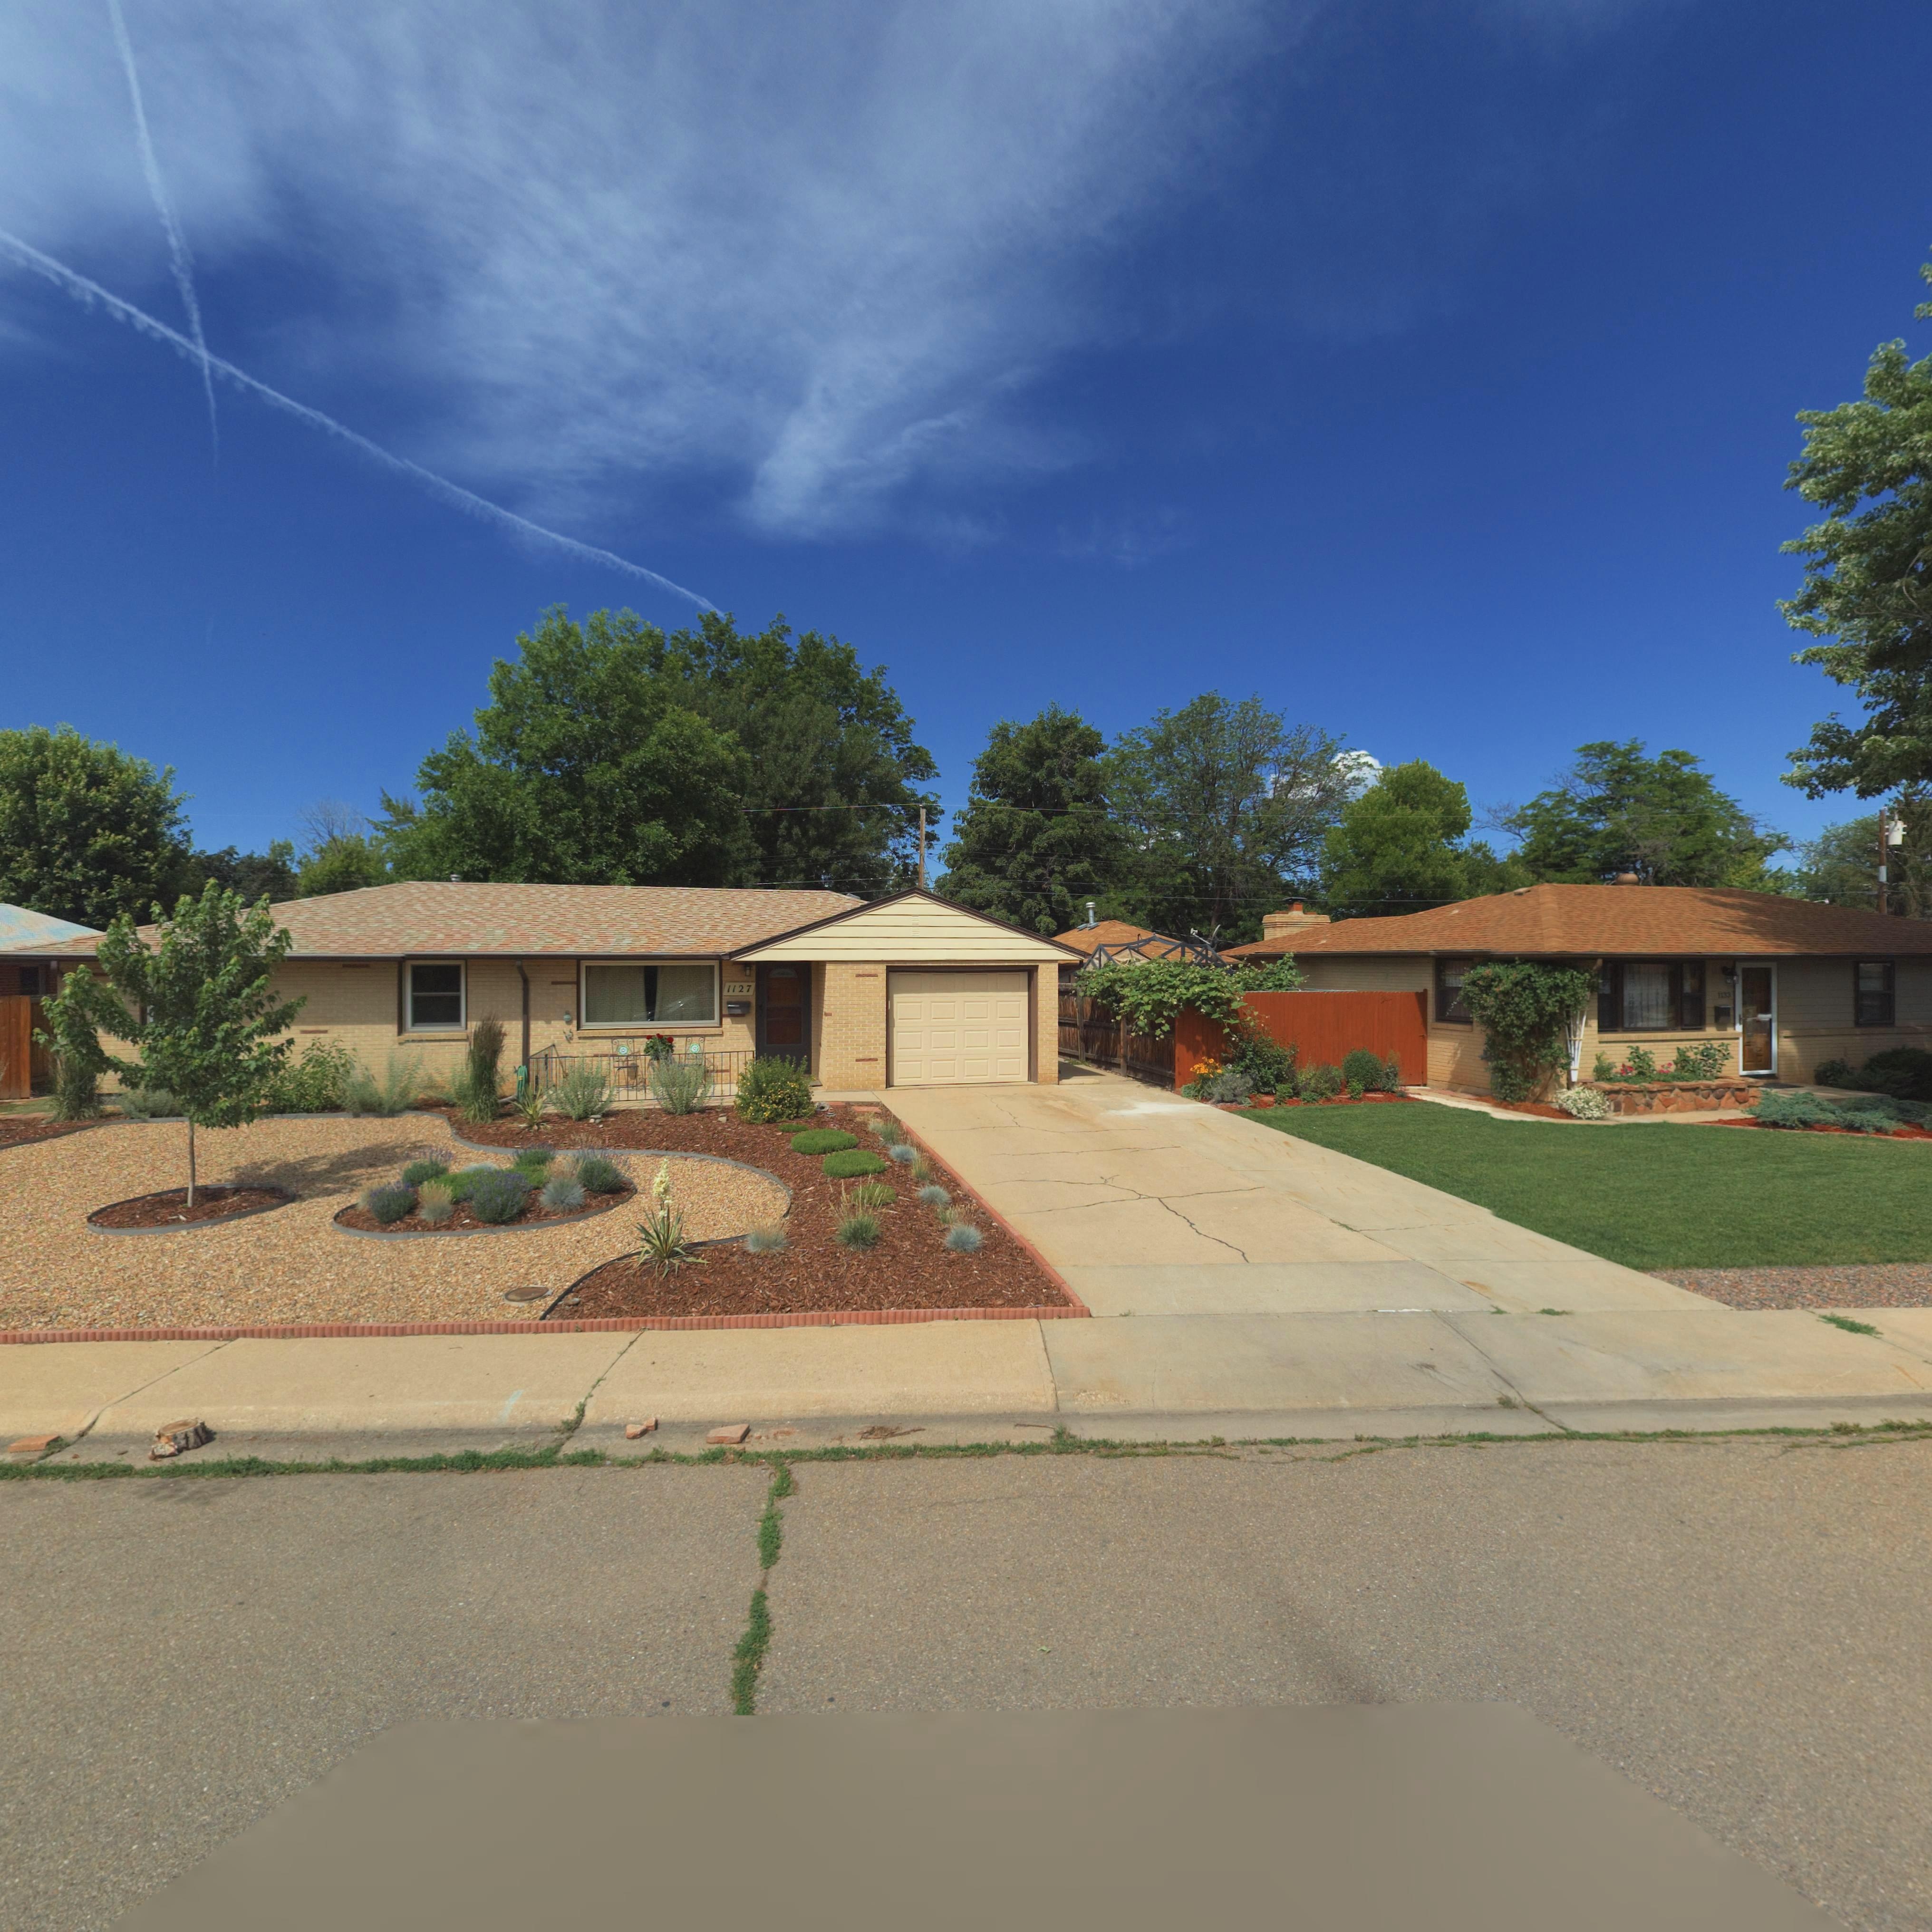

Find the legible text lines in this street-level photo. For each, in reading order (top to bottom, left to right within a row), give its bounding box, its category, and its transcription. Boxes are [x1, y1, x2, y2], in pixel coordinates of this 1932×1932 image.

[727, 985, 752, 992] StreetNumber: 1127
[1717, 992, 1731, 998] StreetNumber: 1133